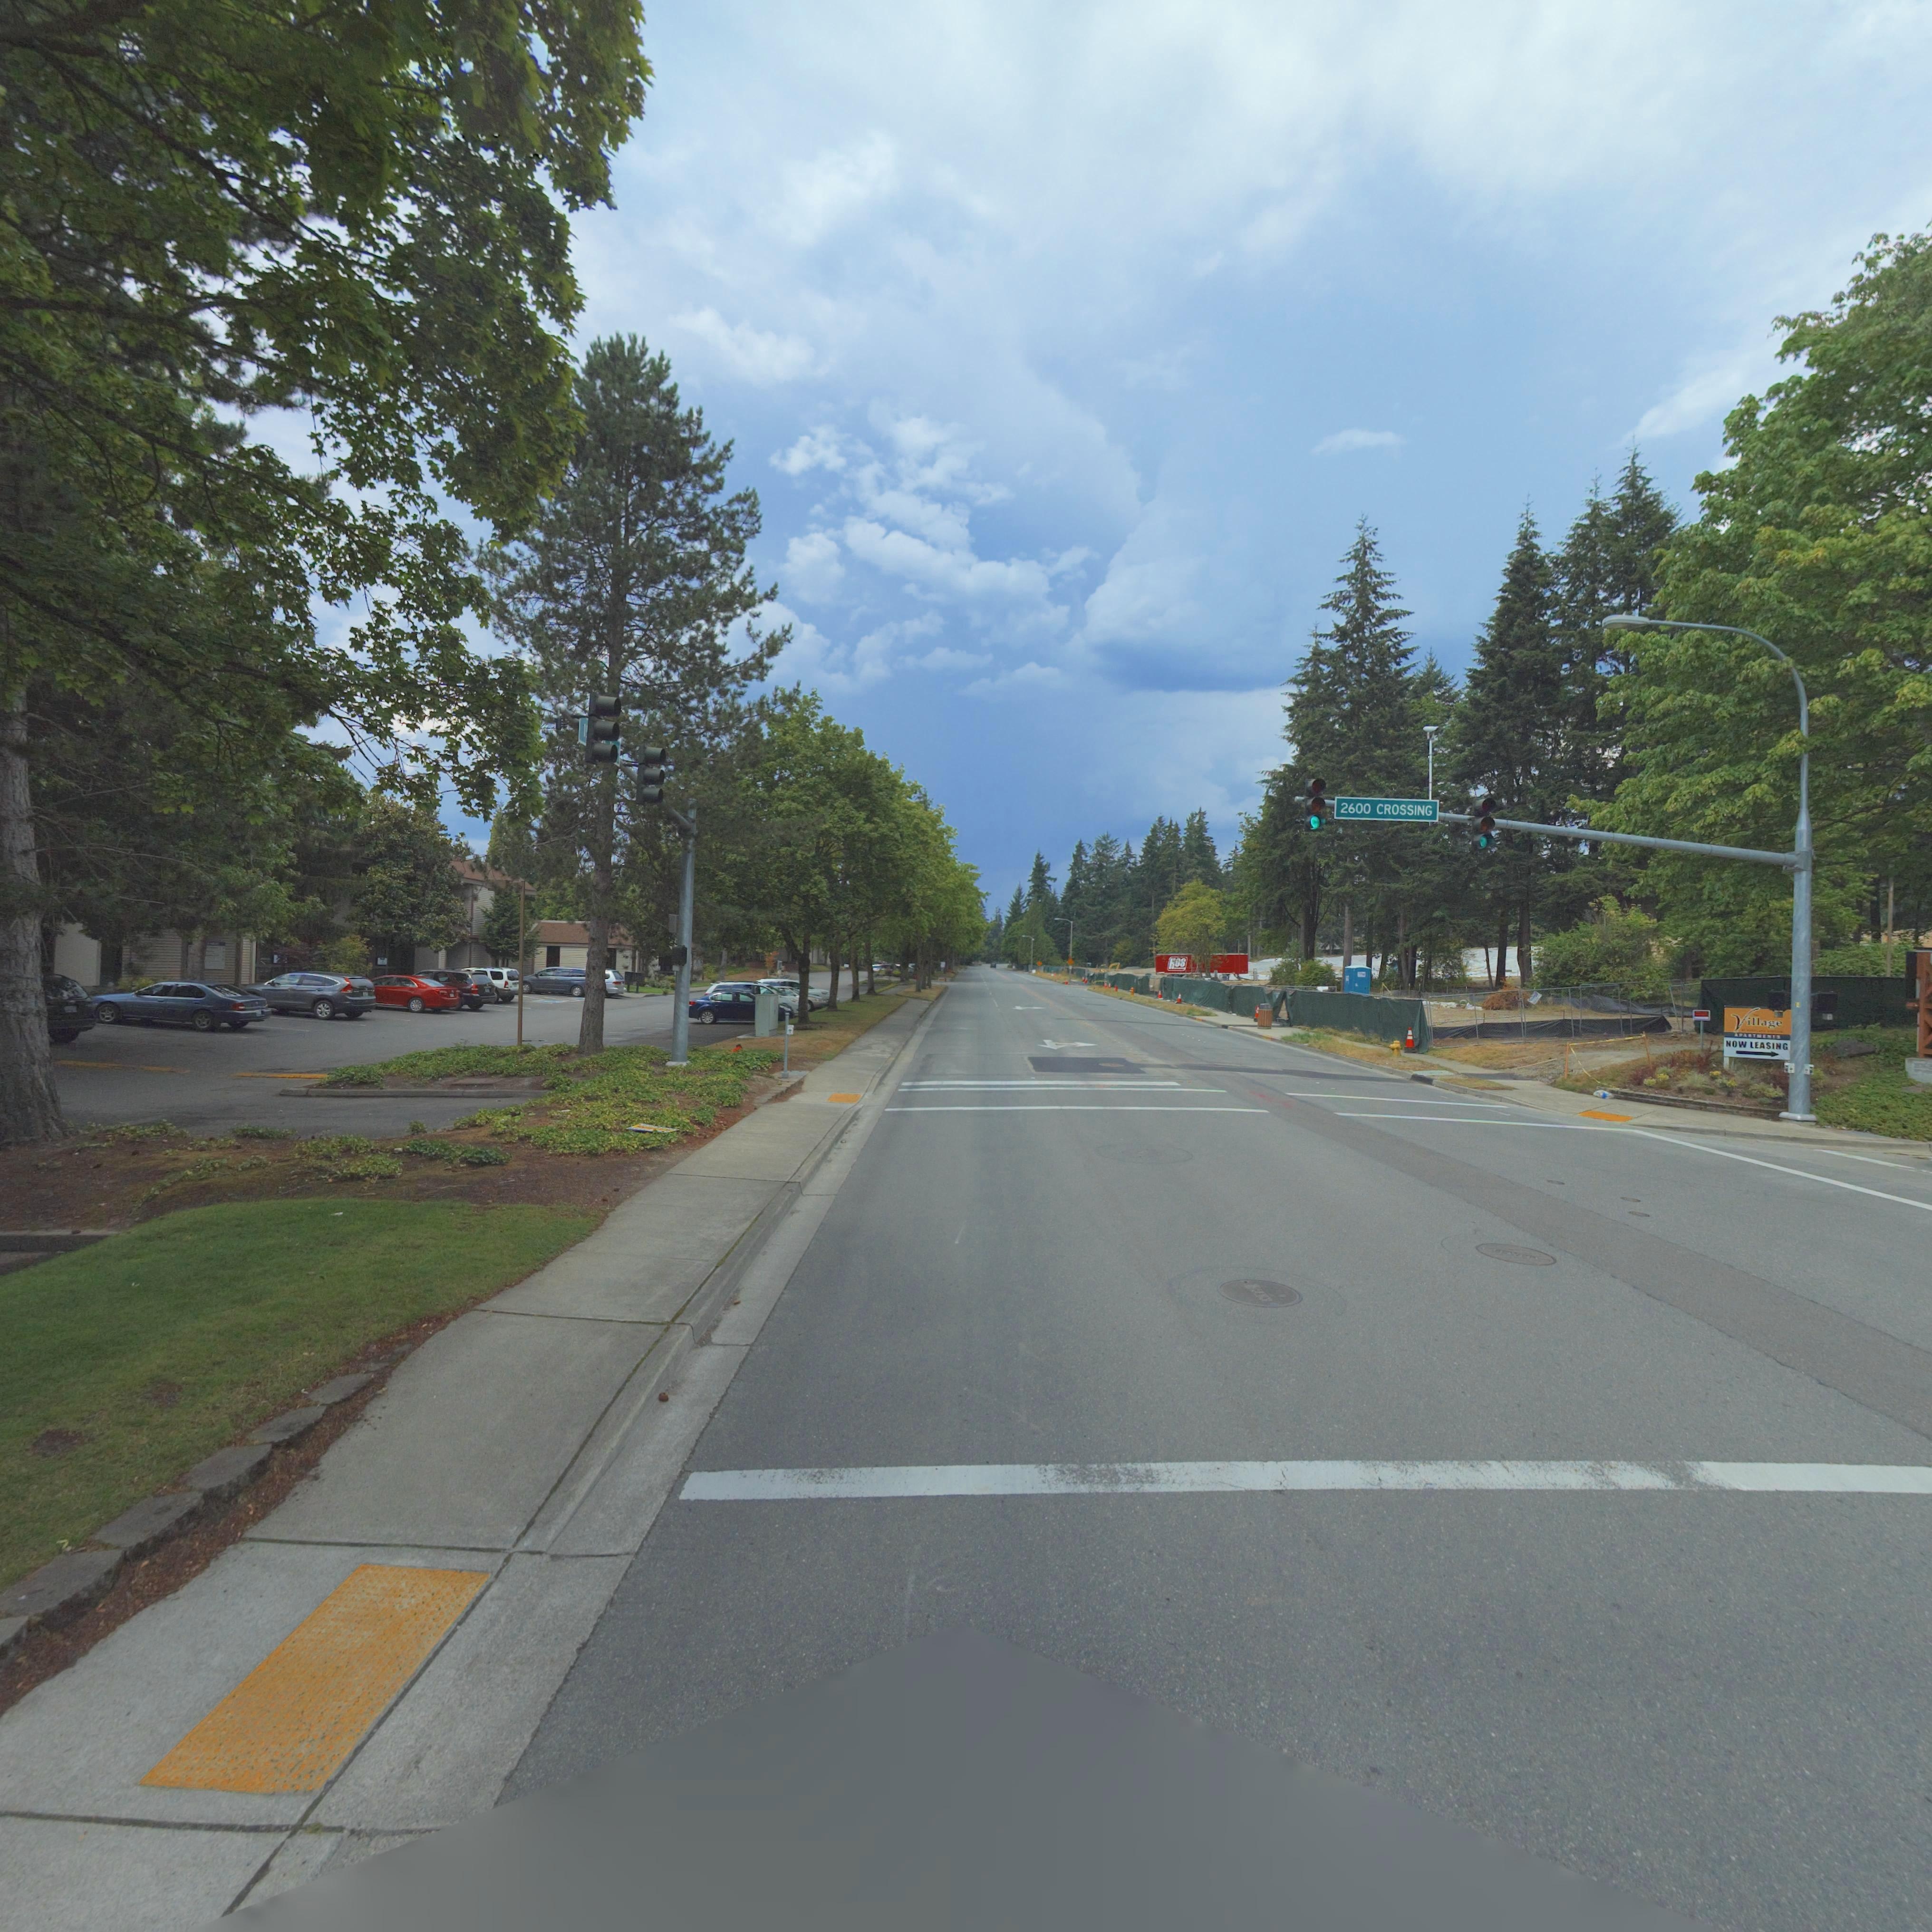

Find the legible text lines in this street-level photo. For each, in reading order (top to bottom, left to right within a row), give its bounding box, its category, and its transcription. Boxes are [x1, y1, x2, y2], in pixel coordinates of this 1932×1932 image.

[1339, 801, 1434, 817] StreetName: 2600 CROSSING
[1730, 1007, 1785, 1031] BusinessName: Village
[1734, 1032, 1781, 1040] BusinessName: APARTMENTS